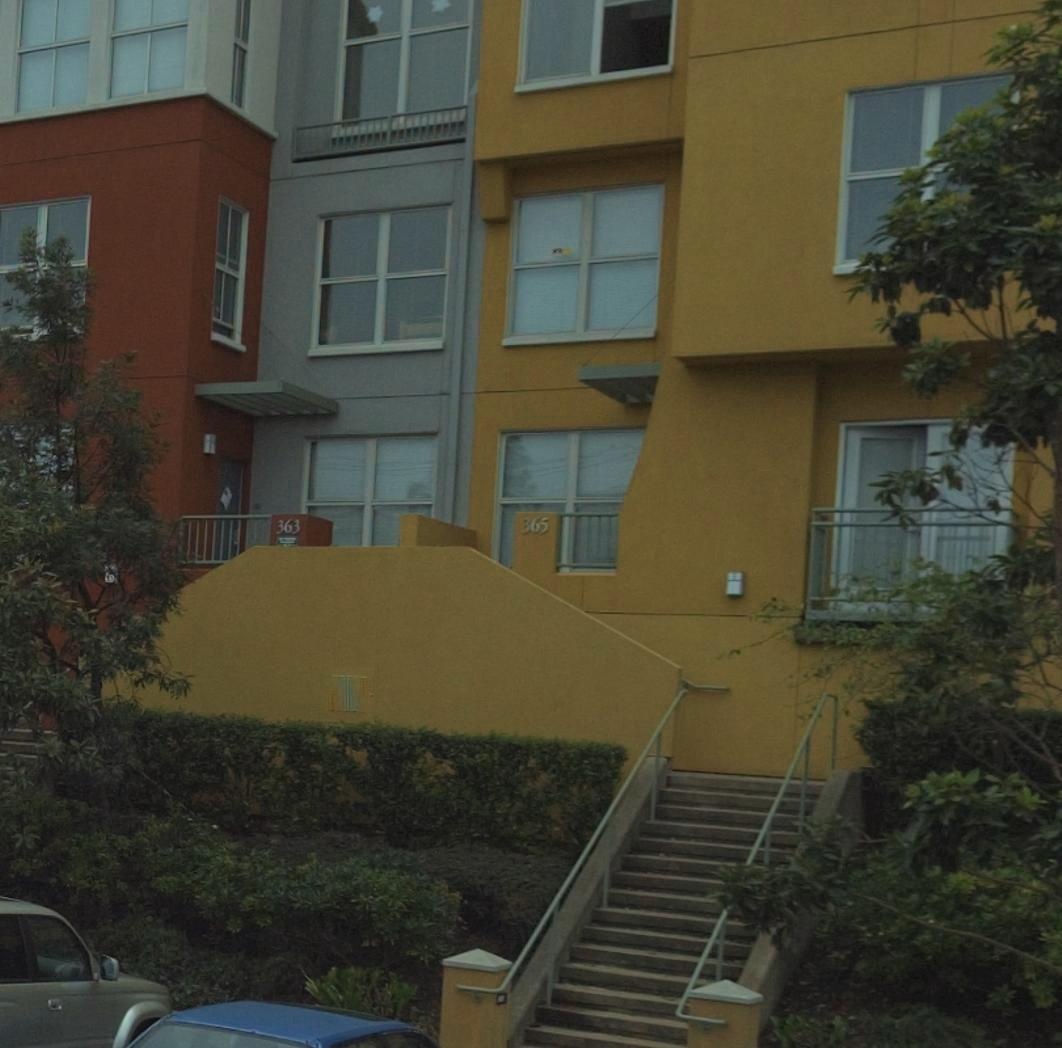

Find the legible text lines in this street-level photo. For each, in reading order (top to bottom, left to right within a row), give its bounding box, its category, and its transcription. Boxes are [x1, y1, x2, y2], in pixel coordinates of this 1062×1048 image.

[273, 517, 303, 537] StreetNumber: 363
[519, 515, 551, 536] StreetNumber: 365